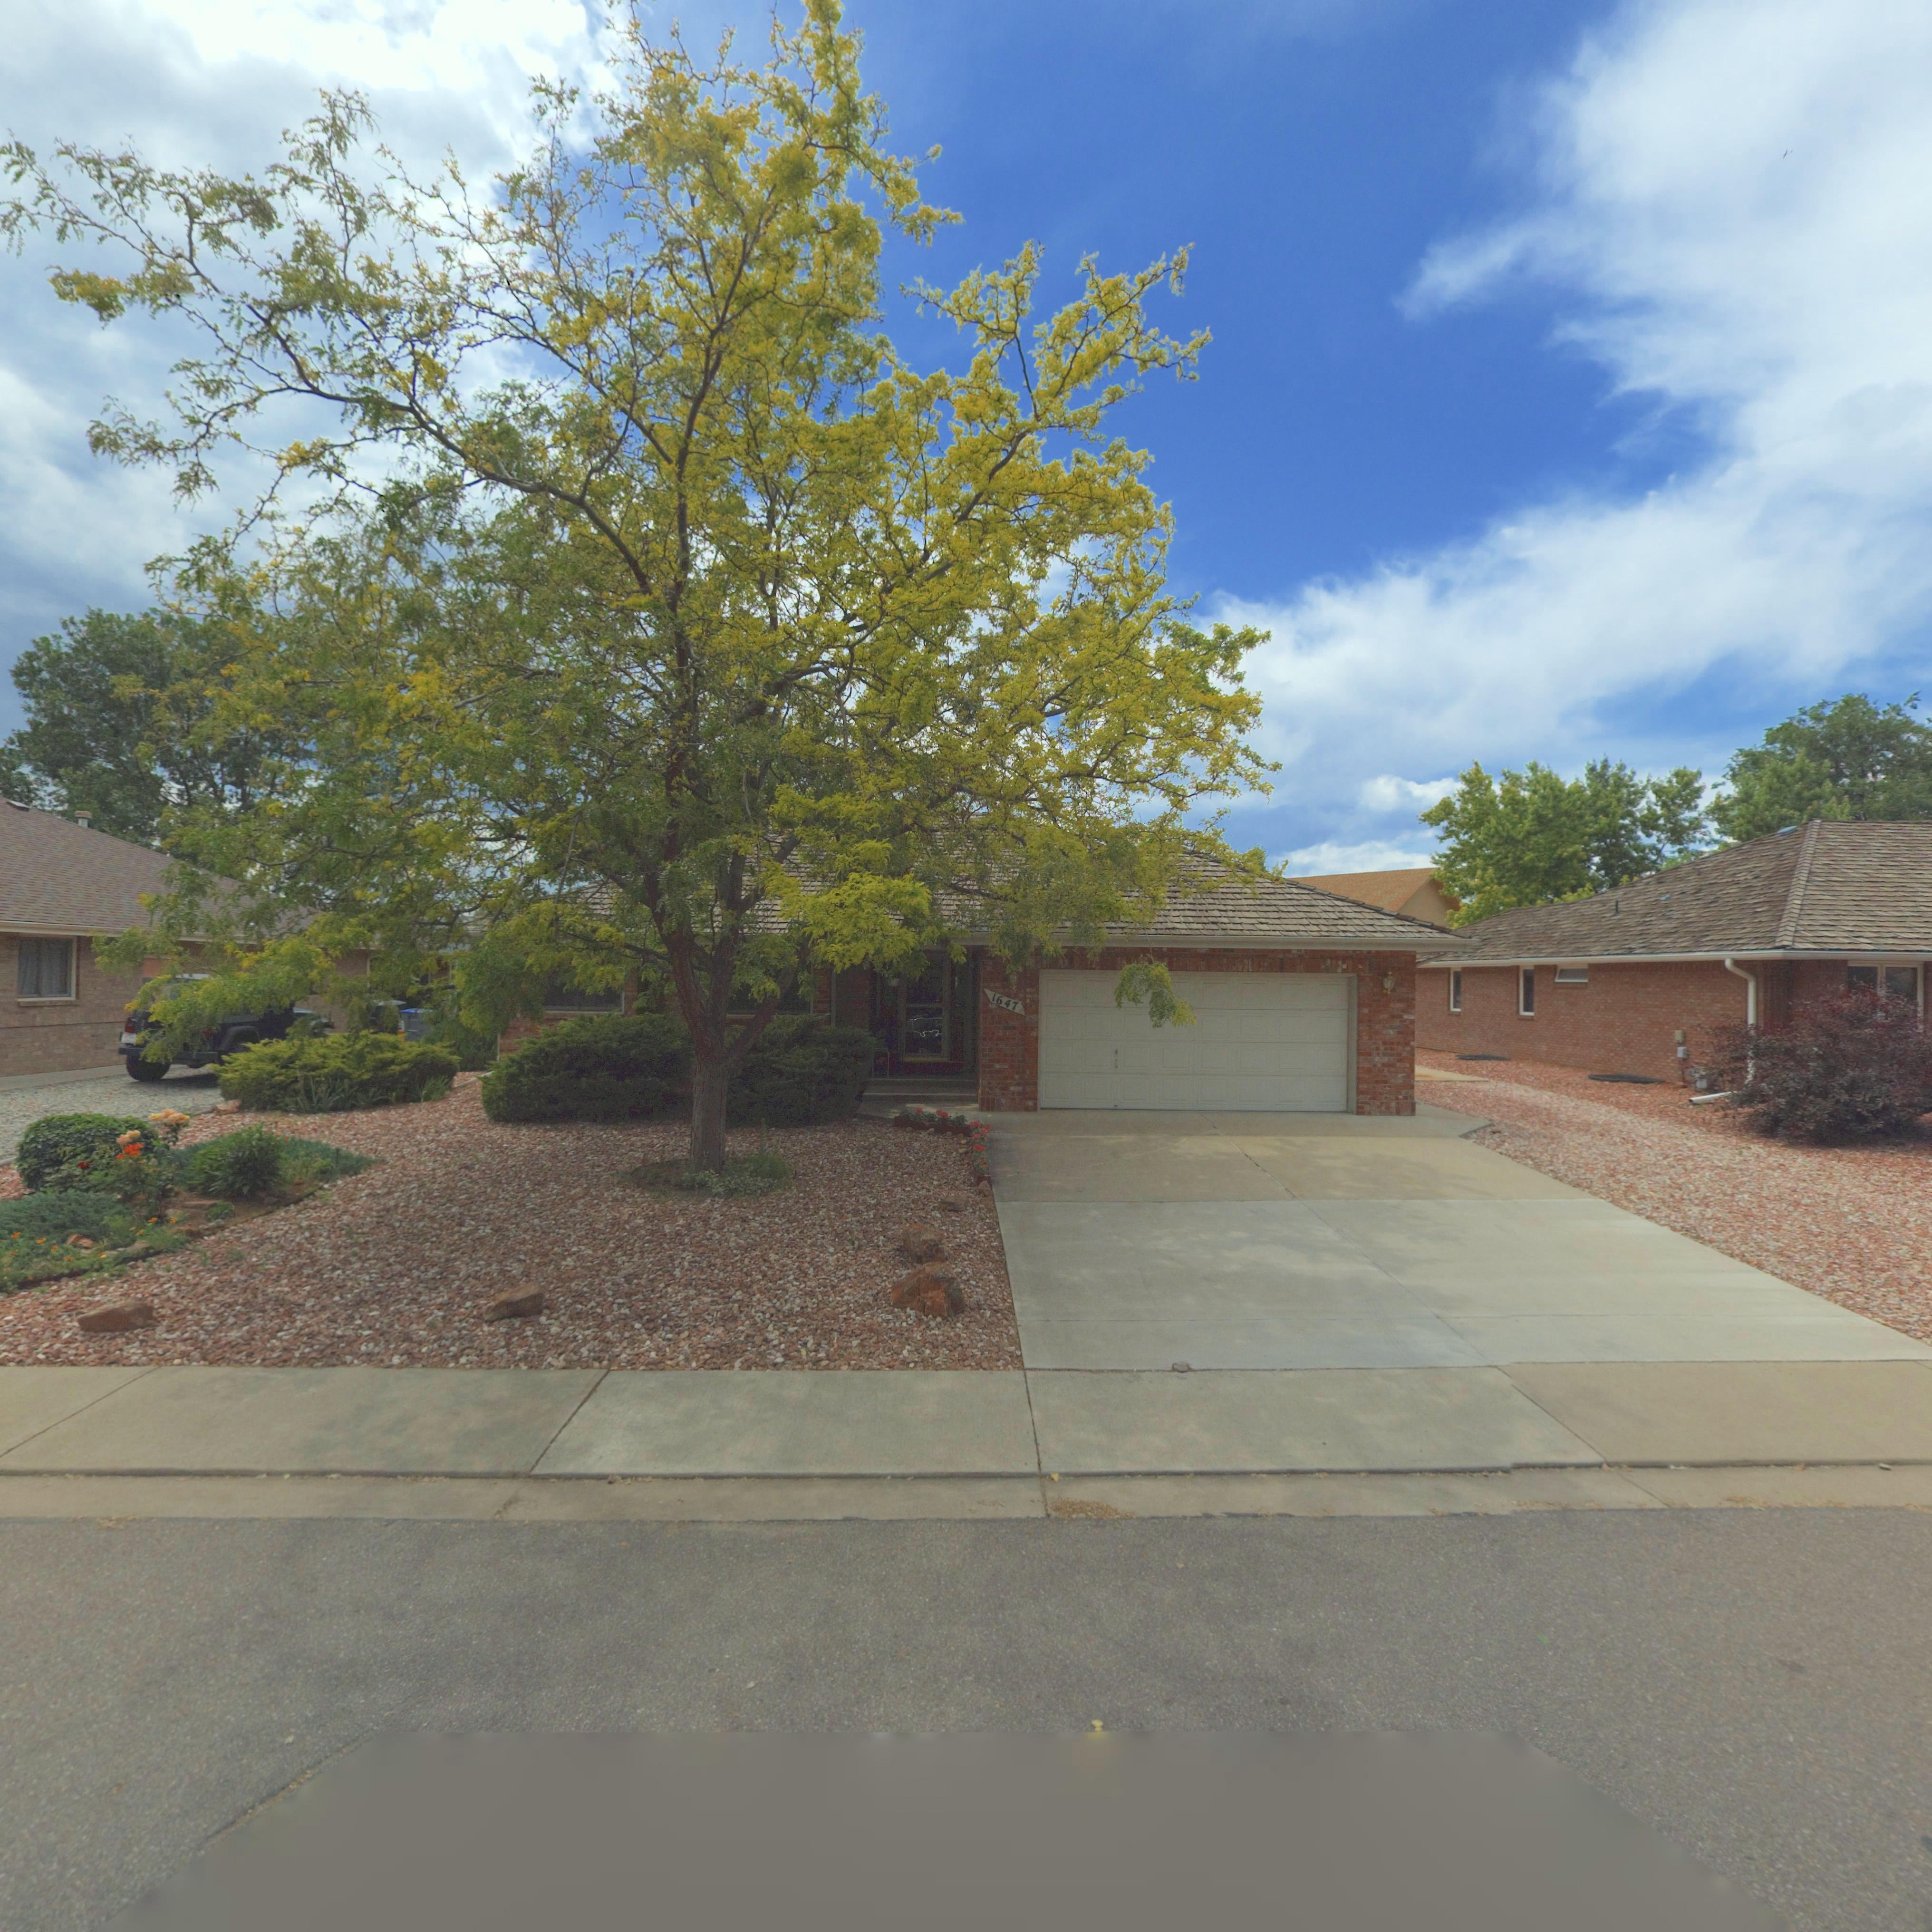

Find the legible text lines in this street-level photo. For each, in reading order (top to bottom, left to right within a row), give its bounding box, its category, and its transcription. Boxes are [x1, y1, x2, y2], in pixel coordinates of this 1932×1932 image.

[991, 992, 1019, 1012] StreetNumber: 1647